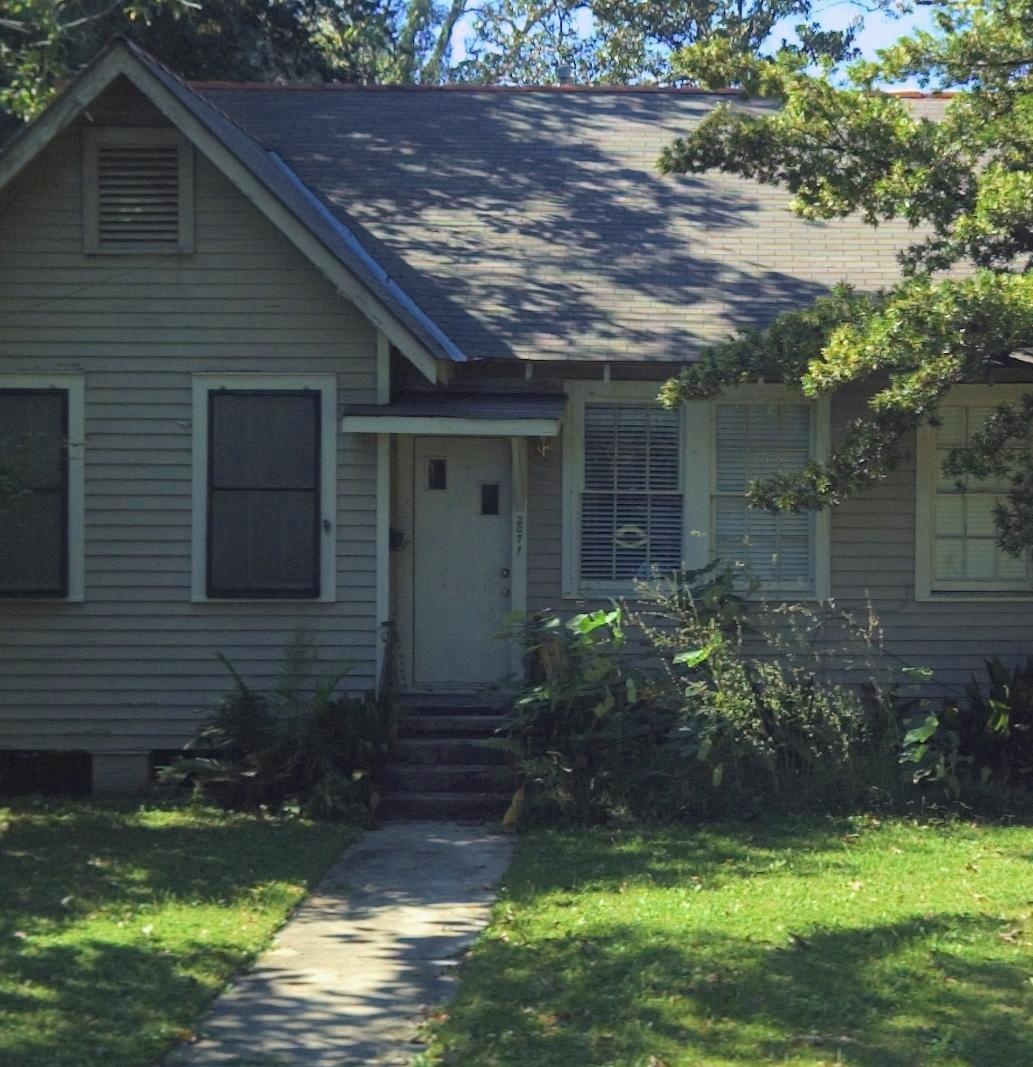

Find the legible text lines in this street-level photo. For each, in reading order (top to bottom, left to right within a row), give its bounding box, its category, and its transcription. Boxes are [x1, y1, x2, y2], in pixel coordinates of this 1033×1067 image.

[514, 514, 525, 557] StreetNumber: 2*71